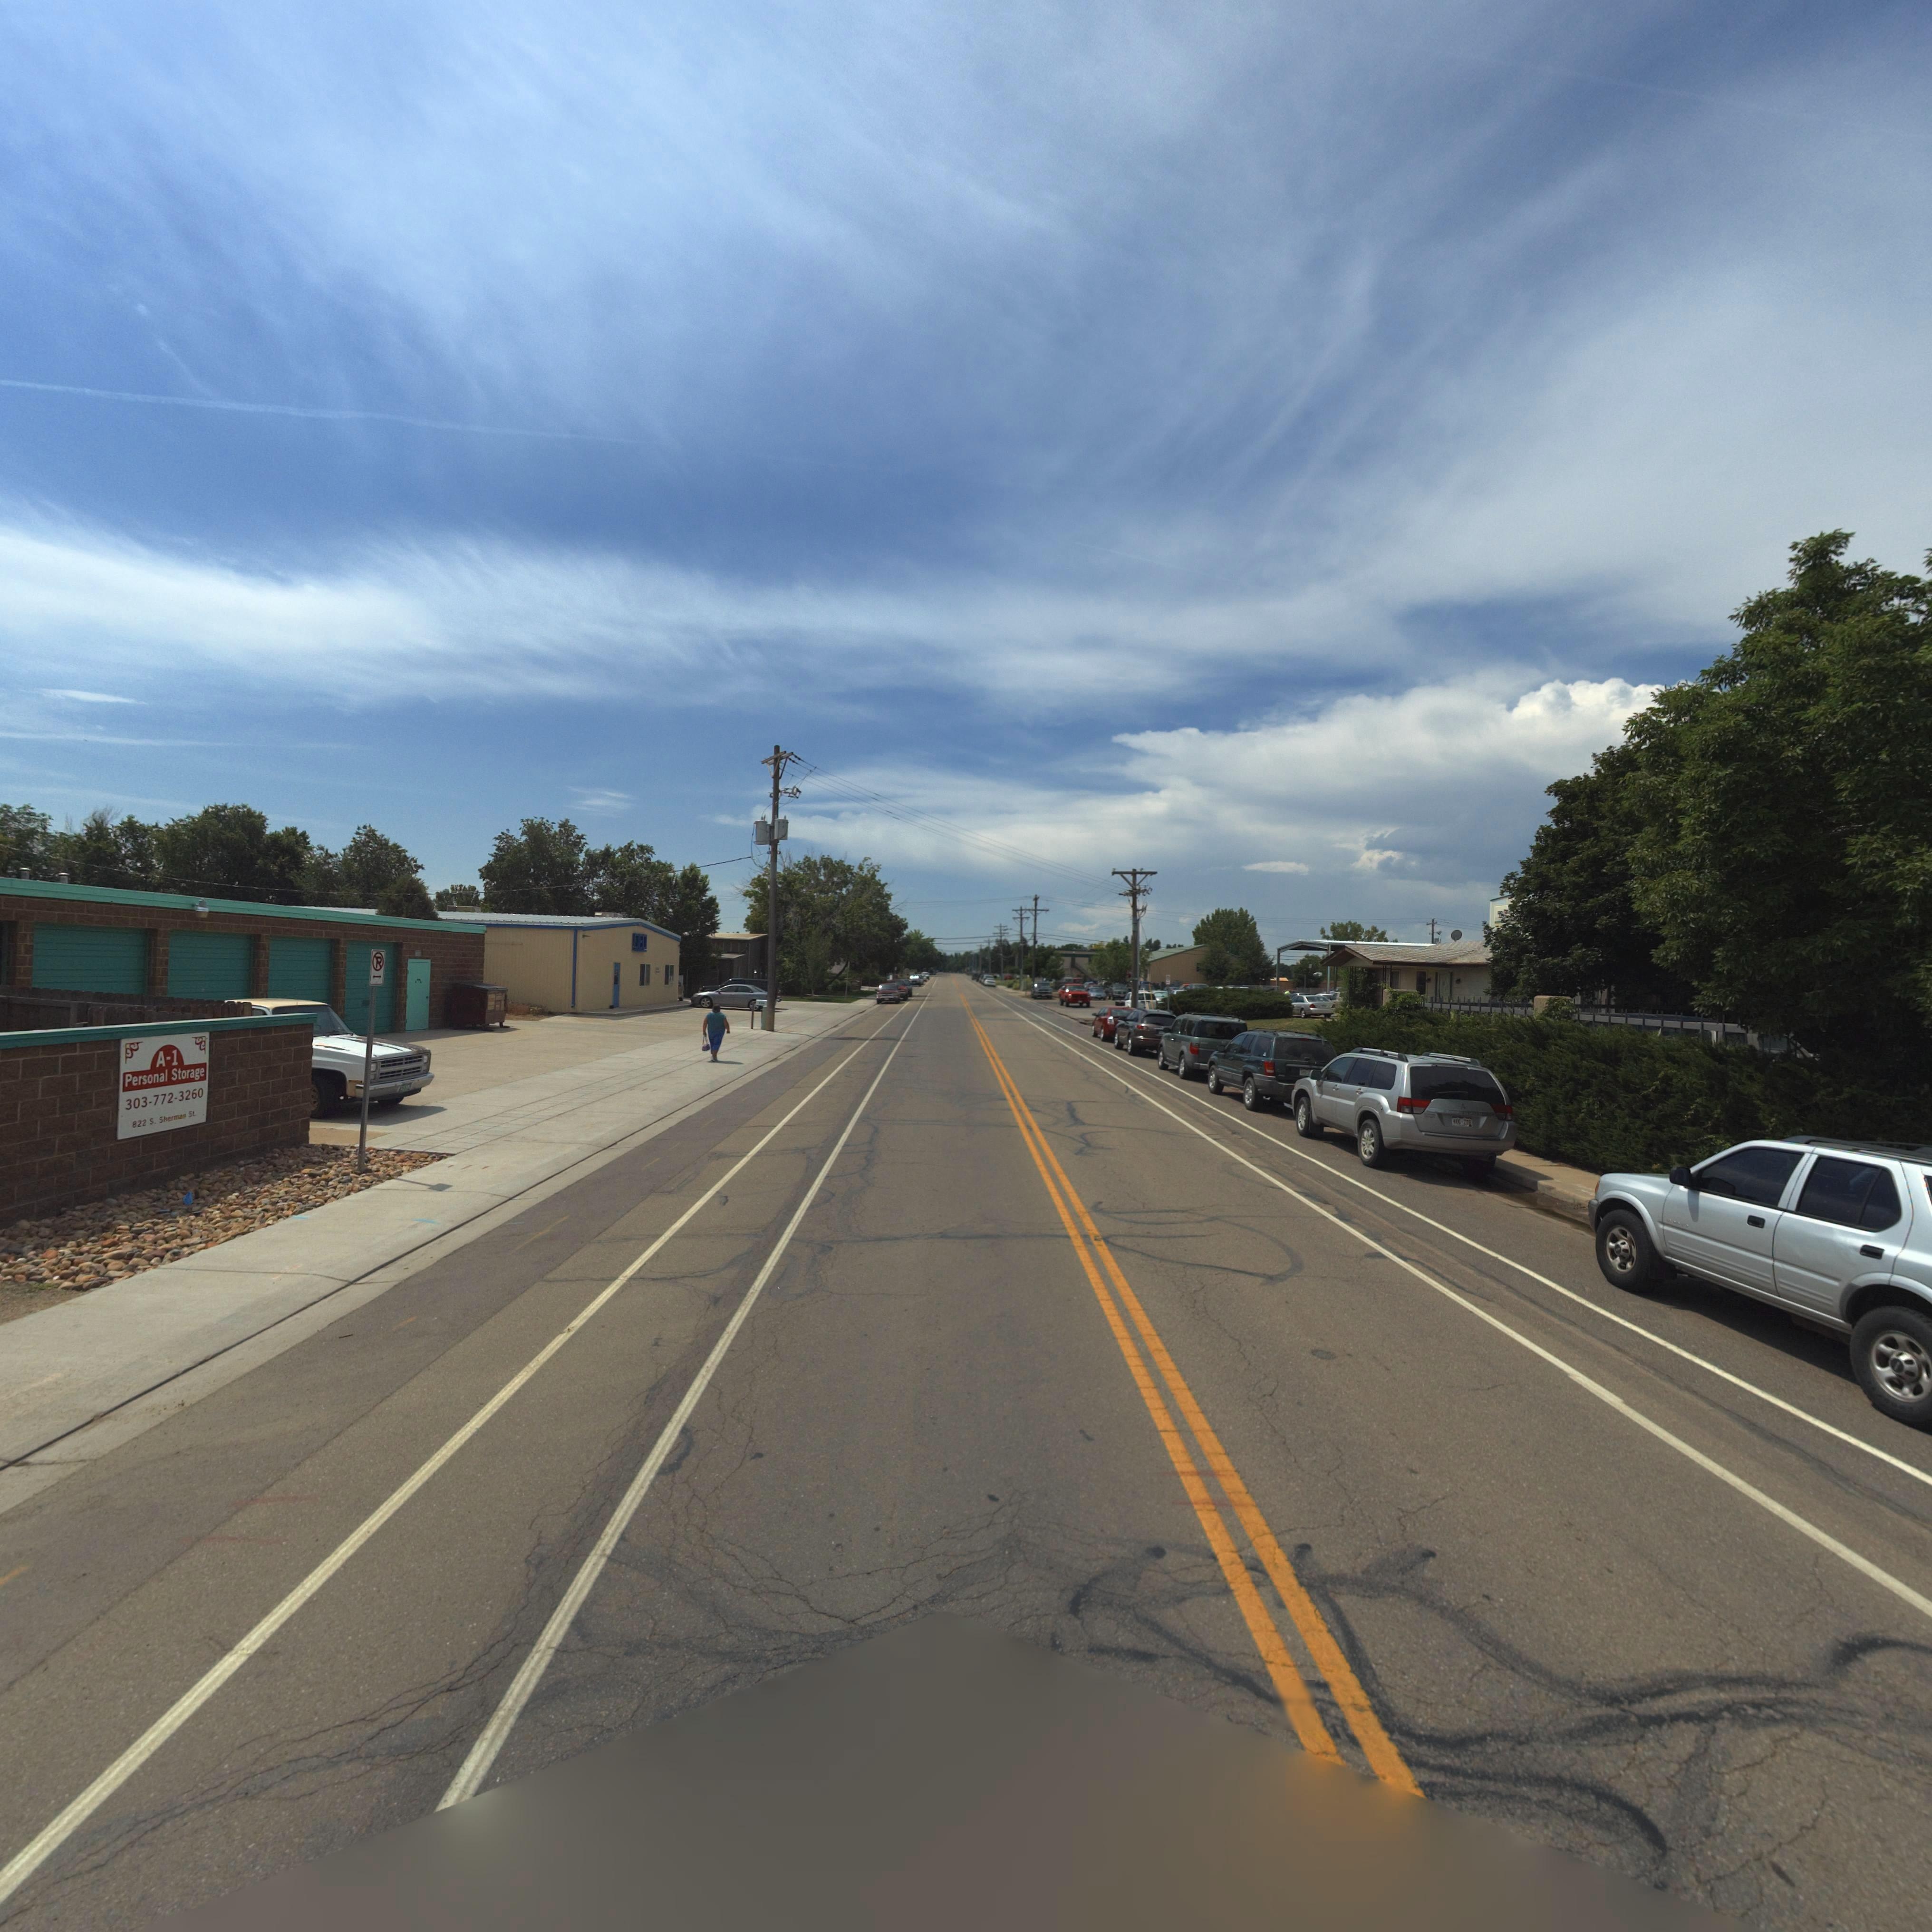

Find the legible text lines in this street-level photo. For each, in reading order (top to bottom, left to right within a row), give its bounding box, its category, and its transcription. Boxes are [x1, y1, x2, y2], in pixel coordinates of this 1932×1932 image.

[633, 933, 647, 952] BusinessName: QED
[155, 1049, 178, 1067] BusinessName: A-1
[125, 1067, 205, 1087] BusinessName: Personal Storage
[131, 1119, 146, 1129] StreetNumber: 822
[149, 1110, 197, 1125] StreetName: S. Sherman St.